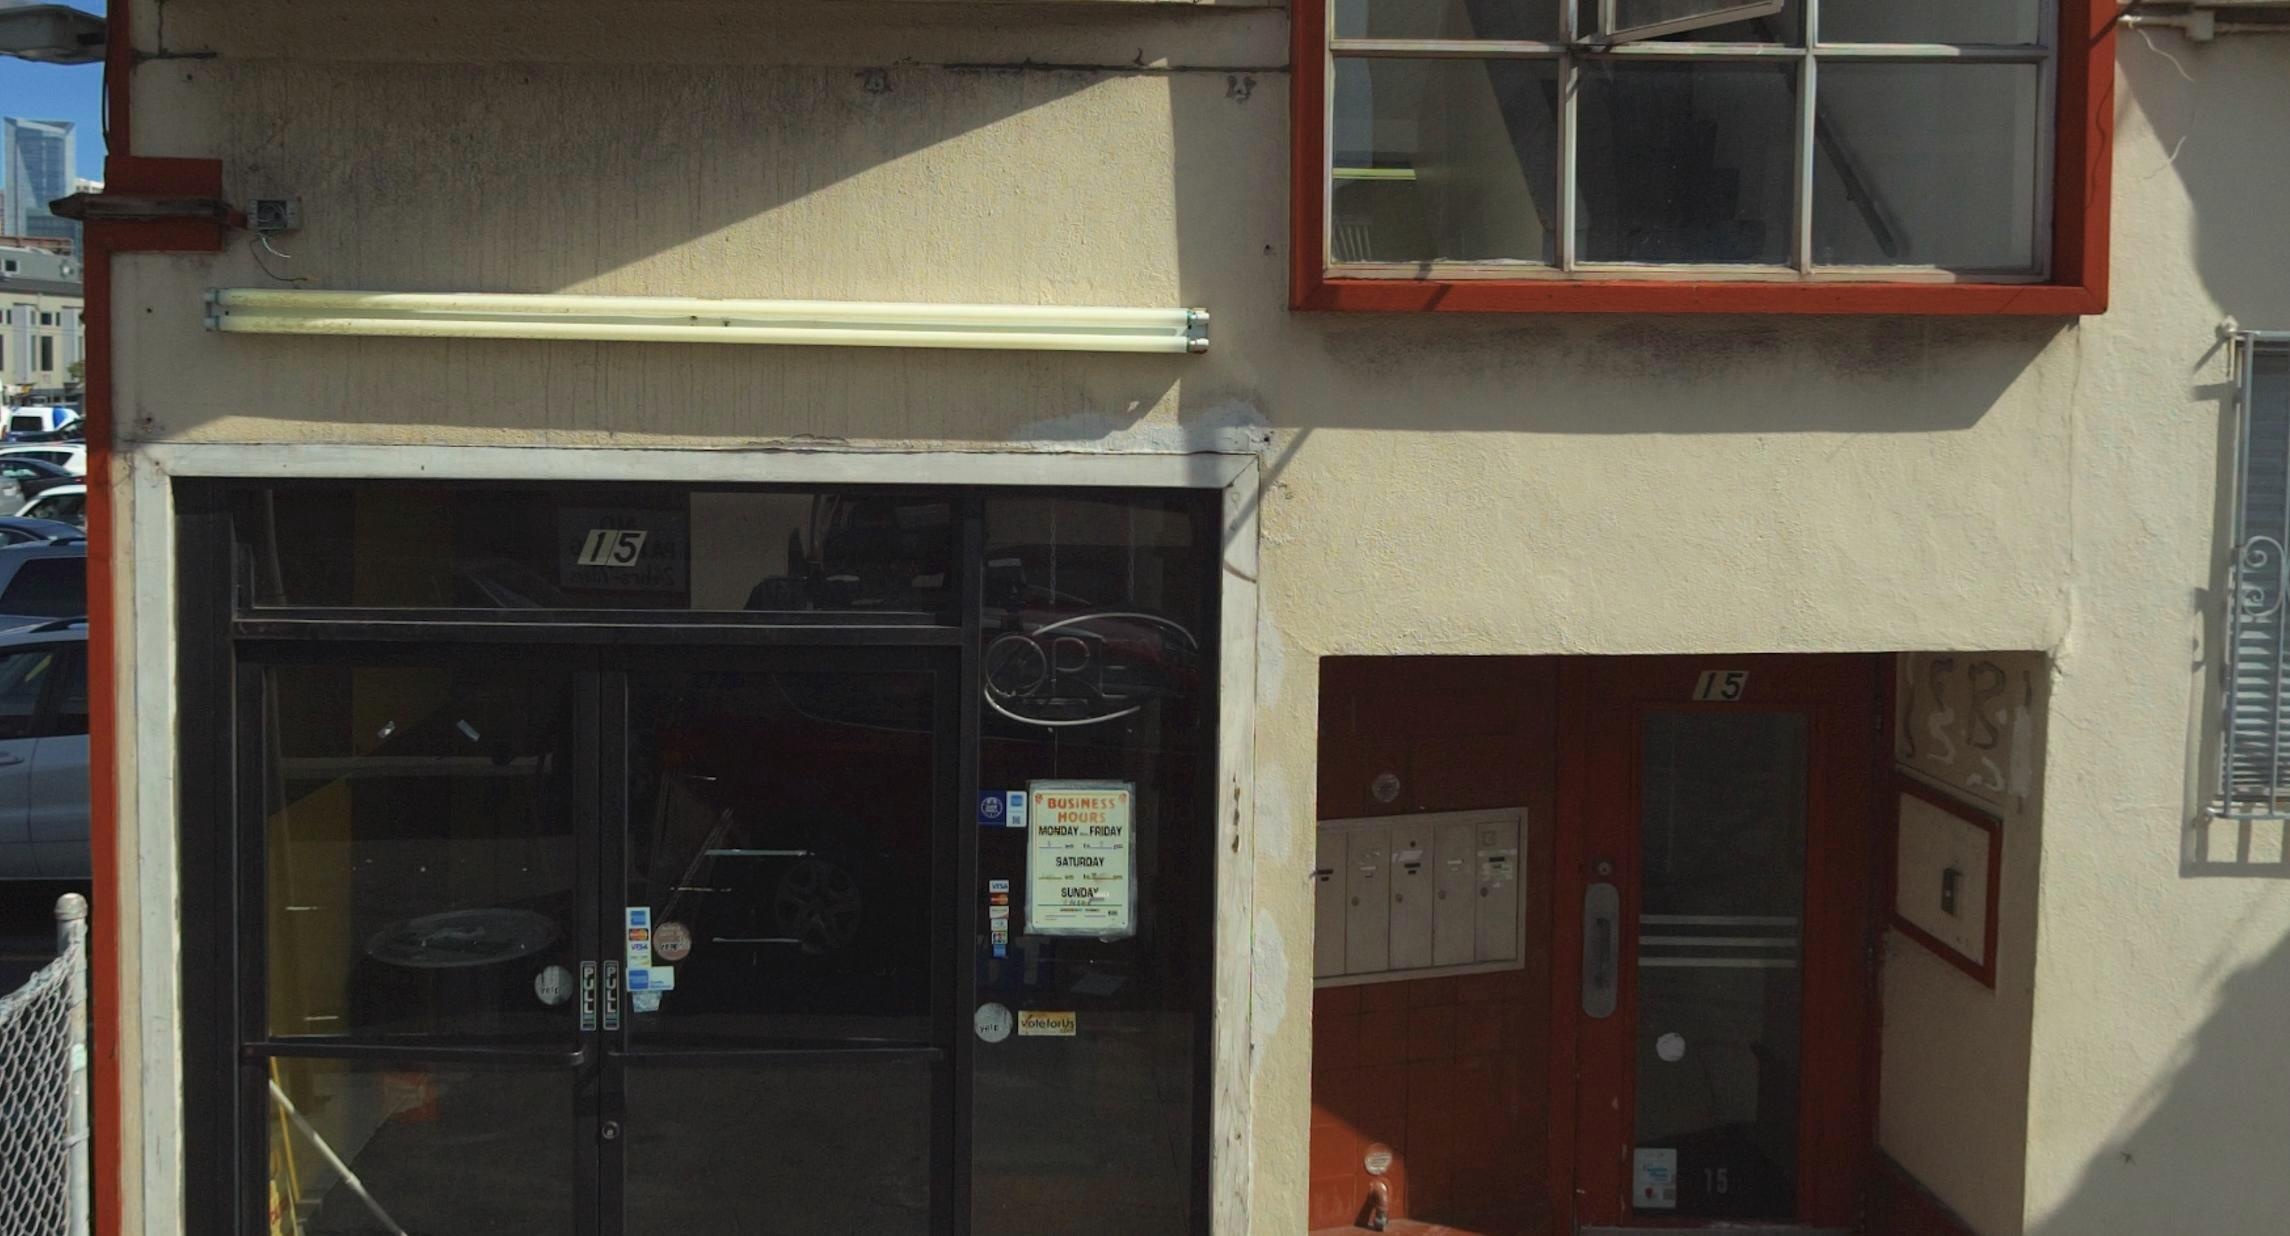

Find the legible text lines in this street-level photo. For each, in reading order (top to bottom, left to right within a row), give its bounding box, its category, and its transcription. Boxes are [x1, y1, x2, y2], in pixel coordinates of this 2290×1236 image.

[581, 528, 649, 566] StreetNumber: 15
[648, 533, 678, 561] None: A*
[976, 627, 1139, 709] None: OPE
[1695, 668, 1750, 707] StreetNumber: 15
[1958, 652, 2018, 760] None: B
[1918, 695, 1966, 777] None: S
[1035, 822, 1126, 841] None: MONDAY * FRIDAY
[1045, 794, 1119, 812] None: BUSINESS
[1054, 808, 1110, 828] None: HOURS
[1051, 854, 1110, 871] None: SATURDAY
[1058, 884, 1101, 901] None: SUNDAY
[581, 961, 597, 1015] None: PULL
[604, 962, 620, 1018] None: PULL
[1024, 1014, 1079, 1032] None: oteforUs
[1700, 1163, 1734, 1199] StreetNumber: 15